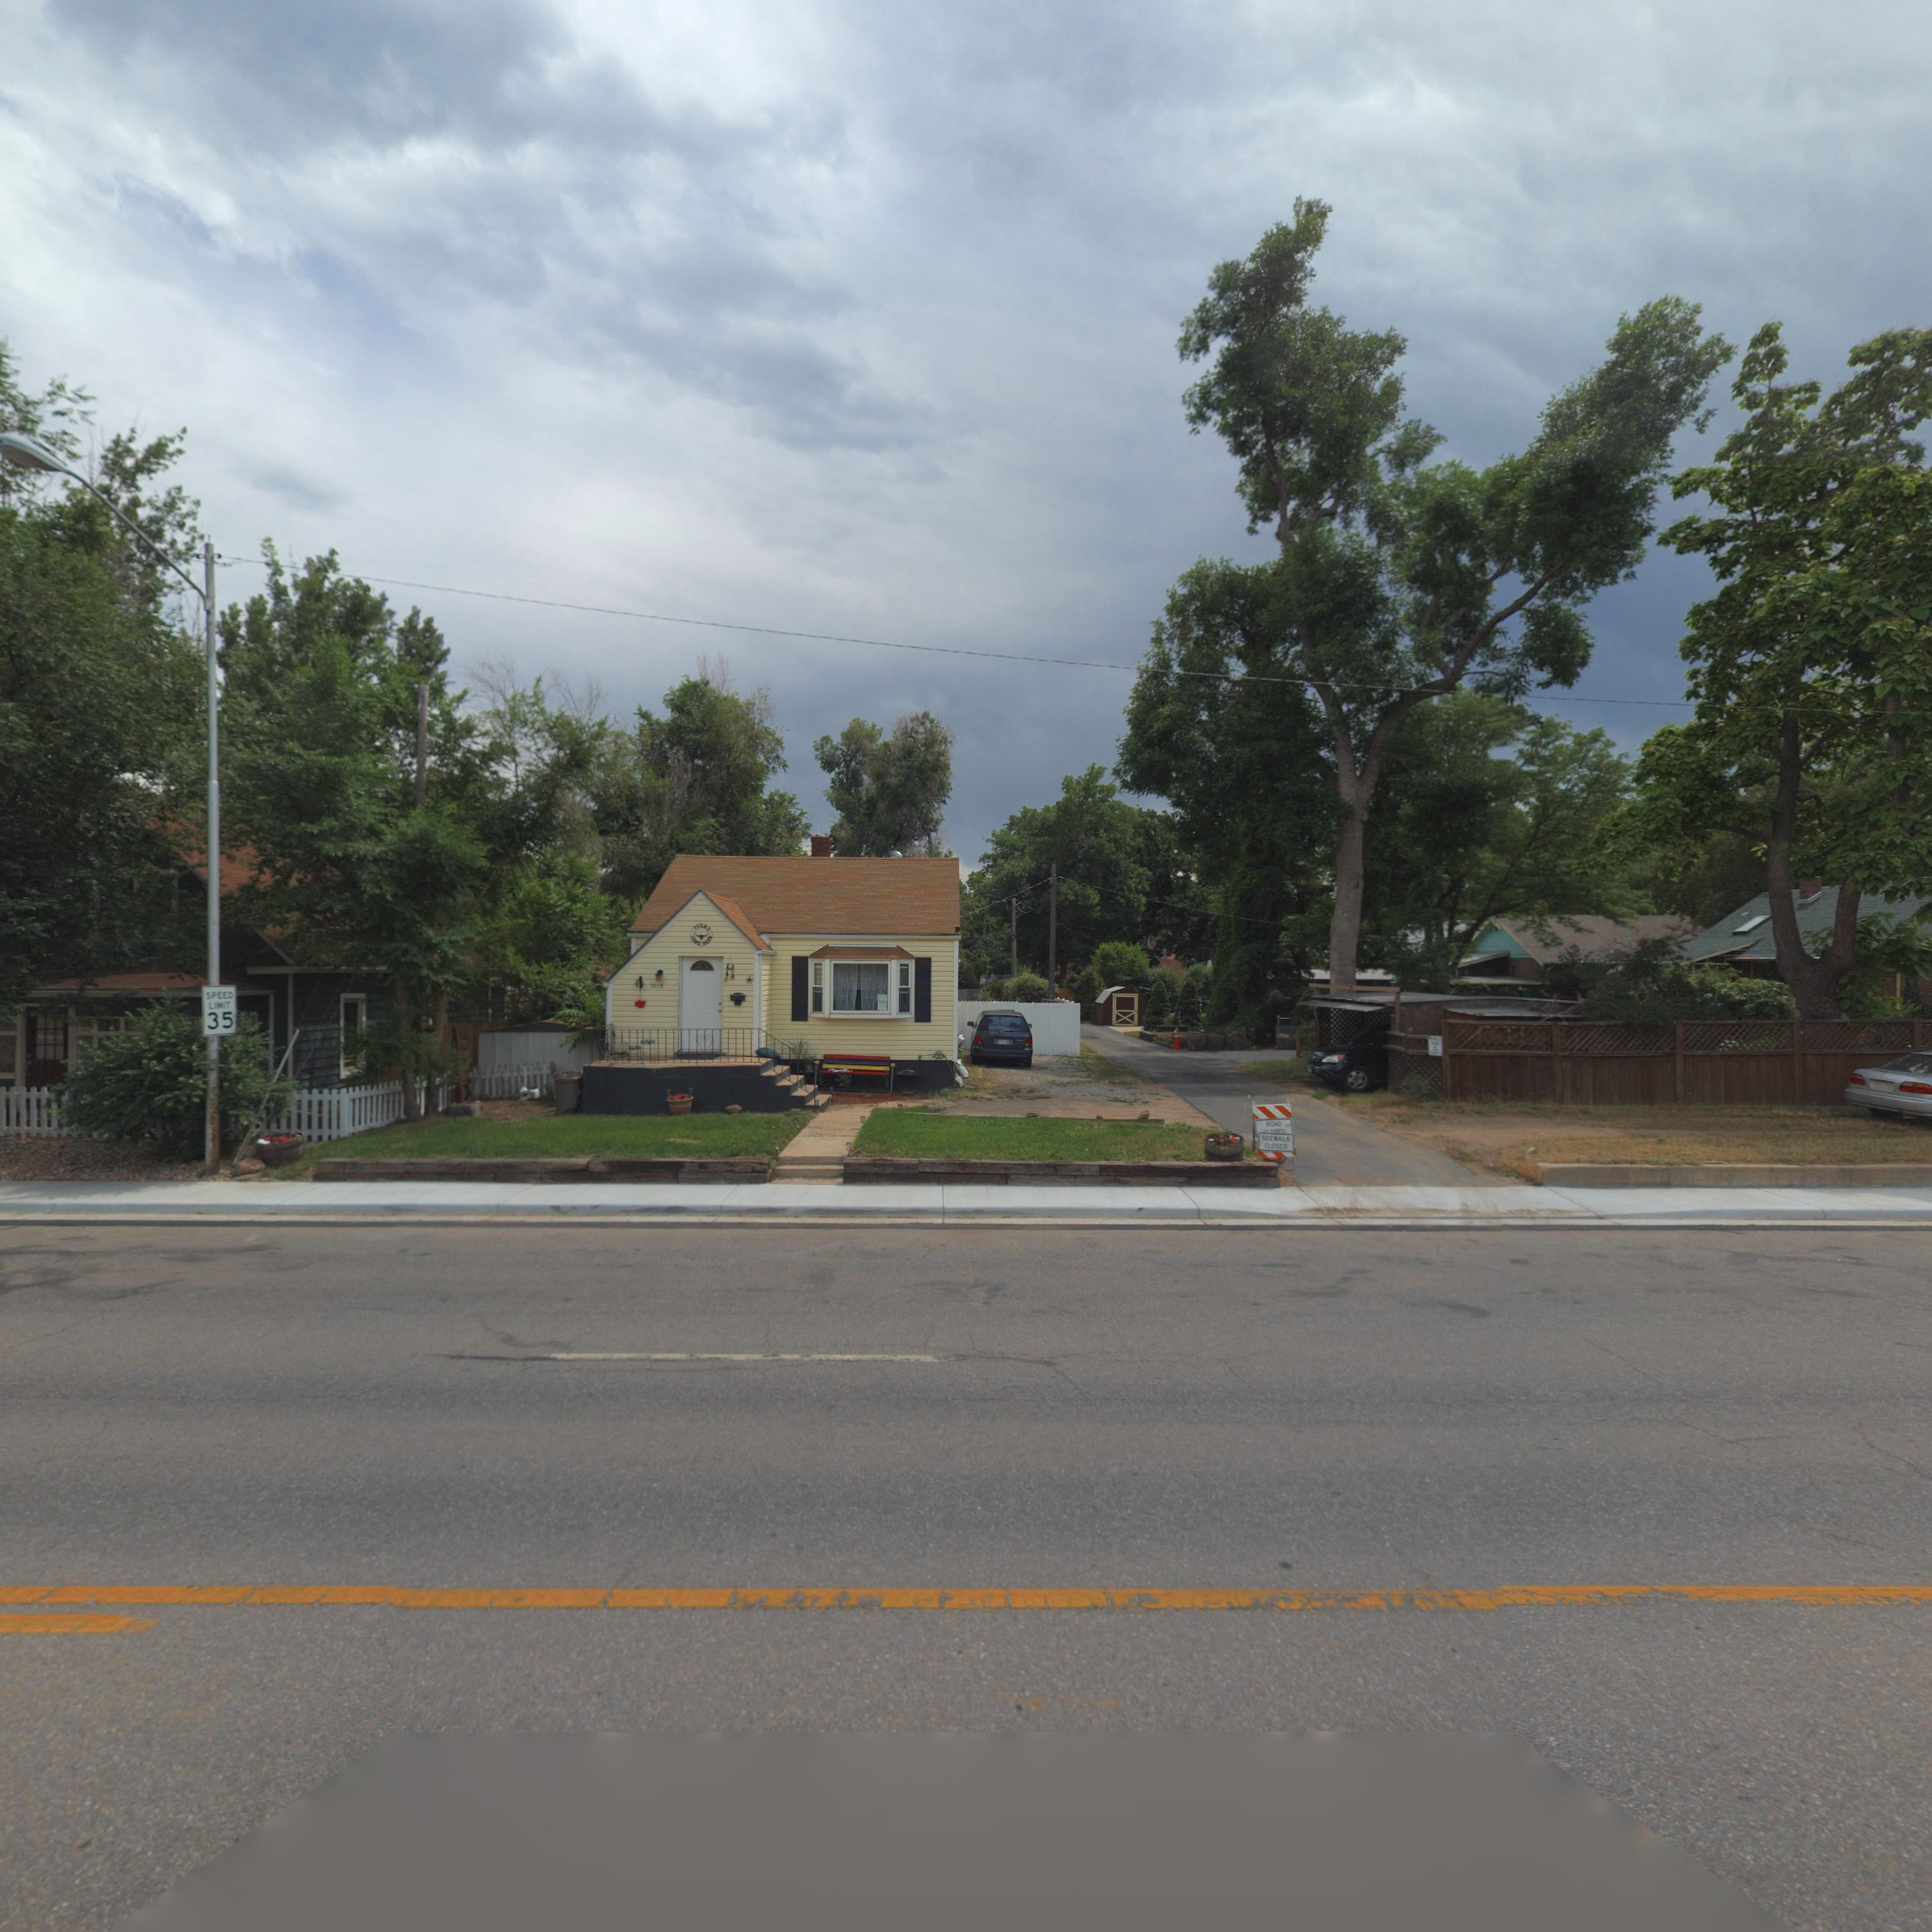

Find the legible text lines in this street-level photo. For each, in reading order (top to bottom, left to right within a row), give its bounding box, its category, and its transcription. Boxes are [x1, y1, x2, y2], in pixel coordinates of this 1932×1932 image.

[650, 983, 664, 989] StreetNumber: 1015